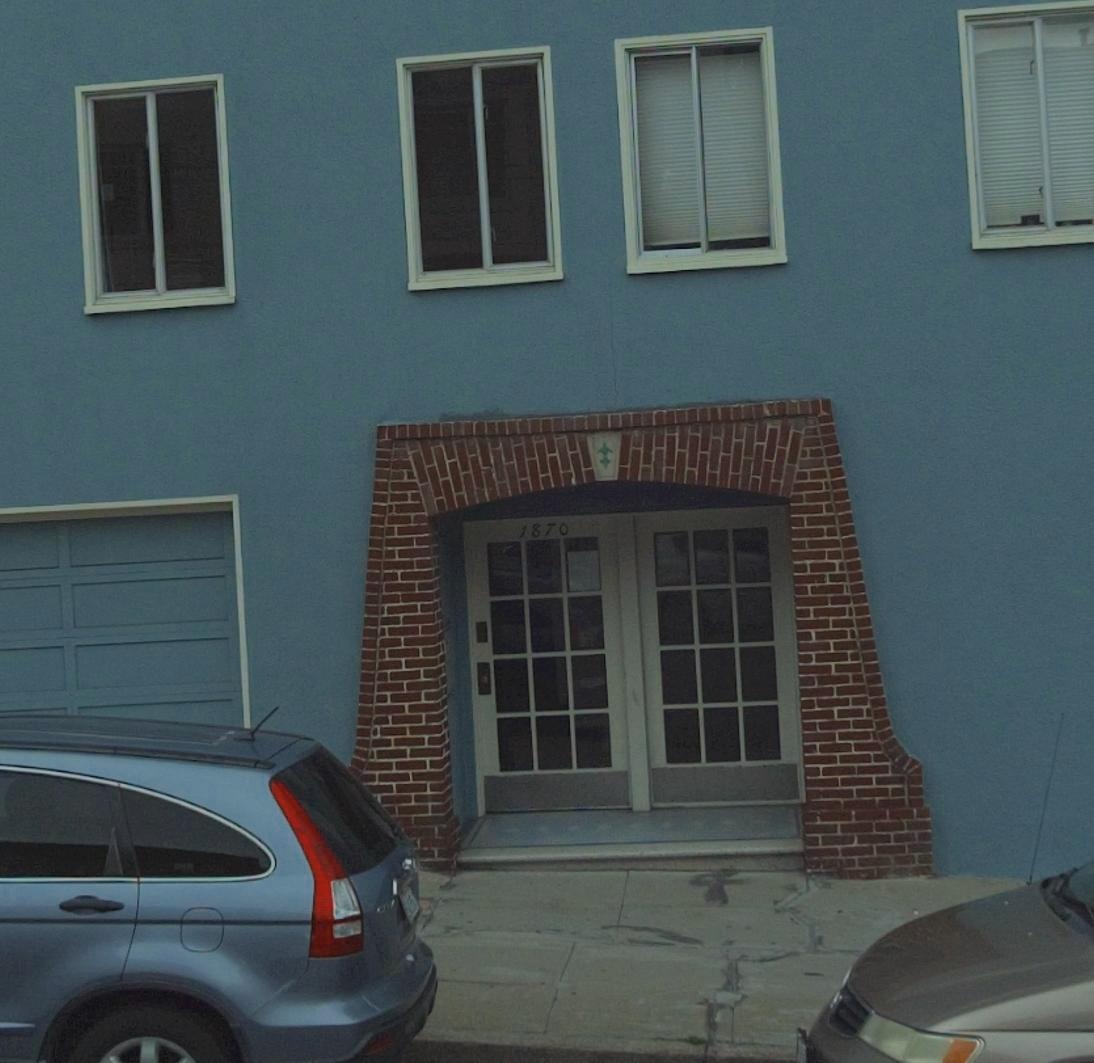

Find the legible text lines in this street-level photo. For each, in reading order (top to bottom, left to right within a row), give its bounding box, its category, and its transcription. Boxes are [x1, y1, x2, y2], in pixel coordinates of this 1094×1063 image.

[516, 520, 570, 541] StreetNumber: 1870